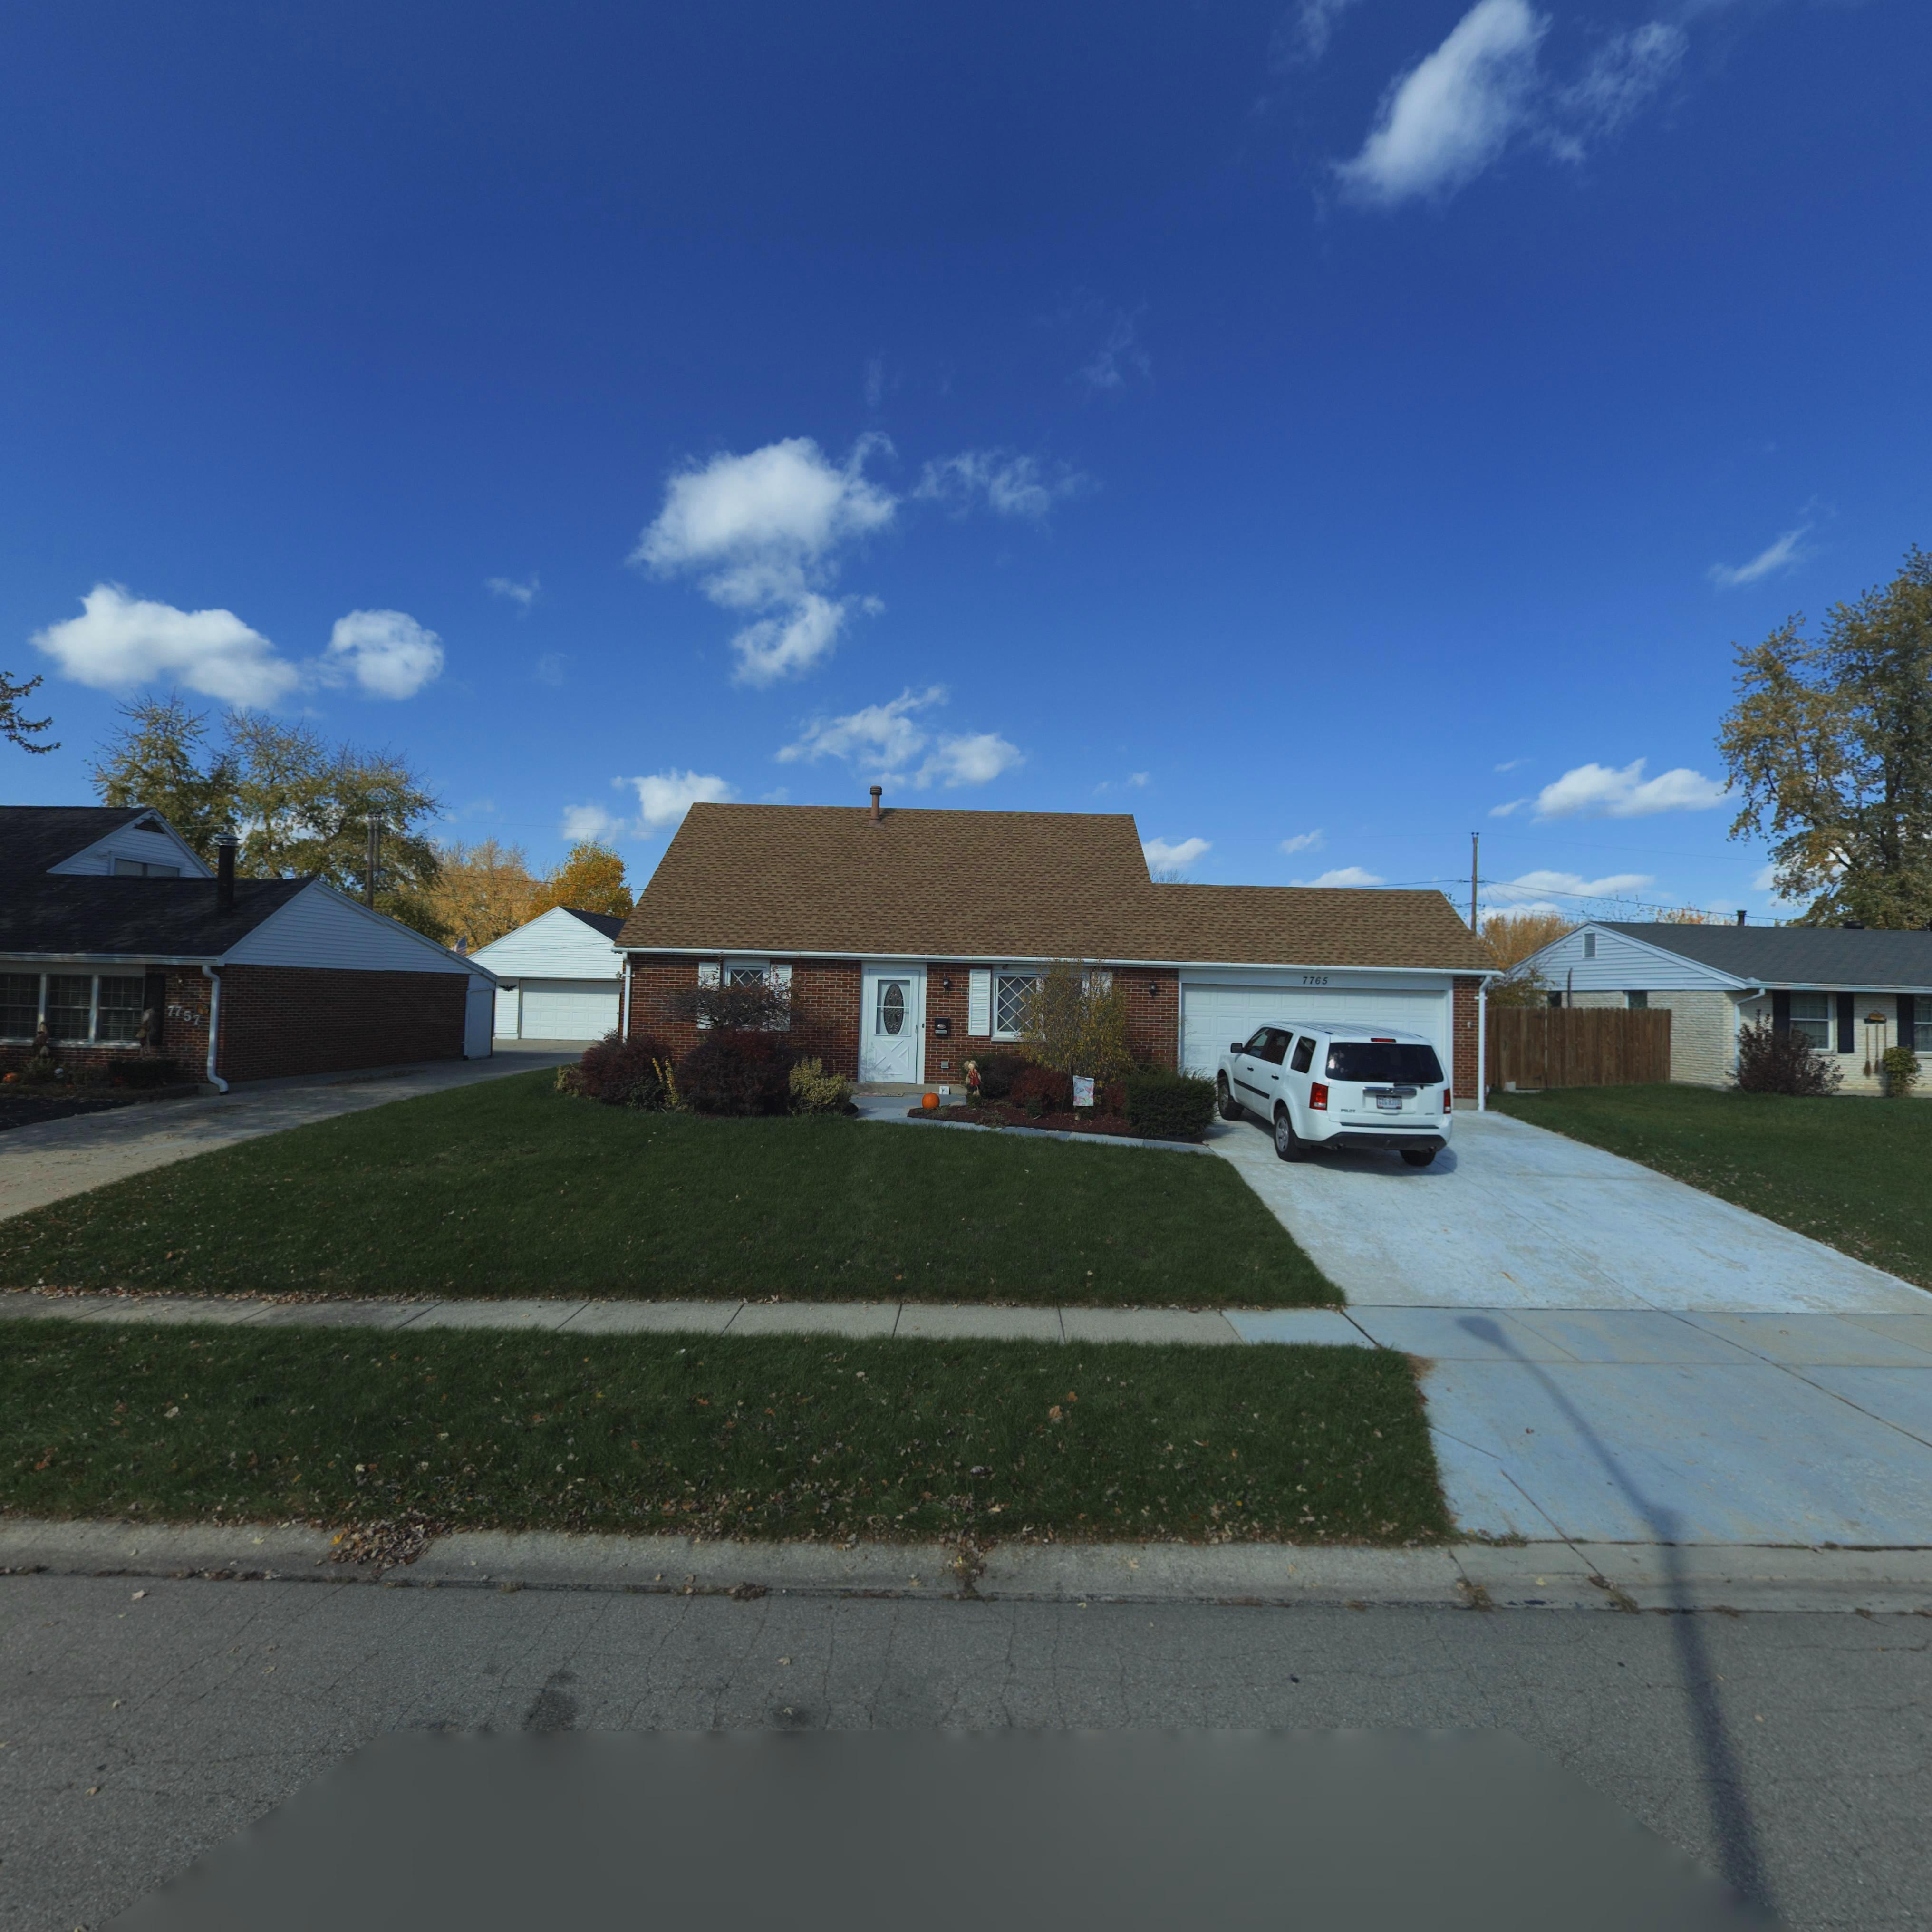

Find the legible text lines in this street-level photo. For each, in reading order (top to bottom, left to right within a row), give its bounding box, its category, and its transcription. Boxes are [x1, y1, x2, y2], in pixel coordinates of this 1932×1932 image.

[1302, 976, 1329, 985] StreetNumber: 7765
[167, 1005, 202, 1026] StreetNumber: 7757